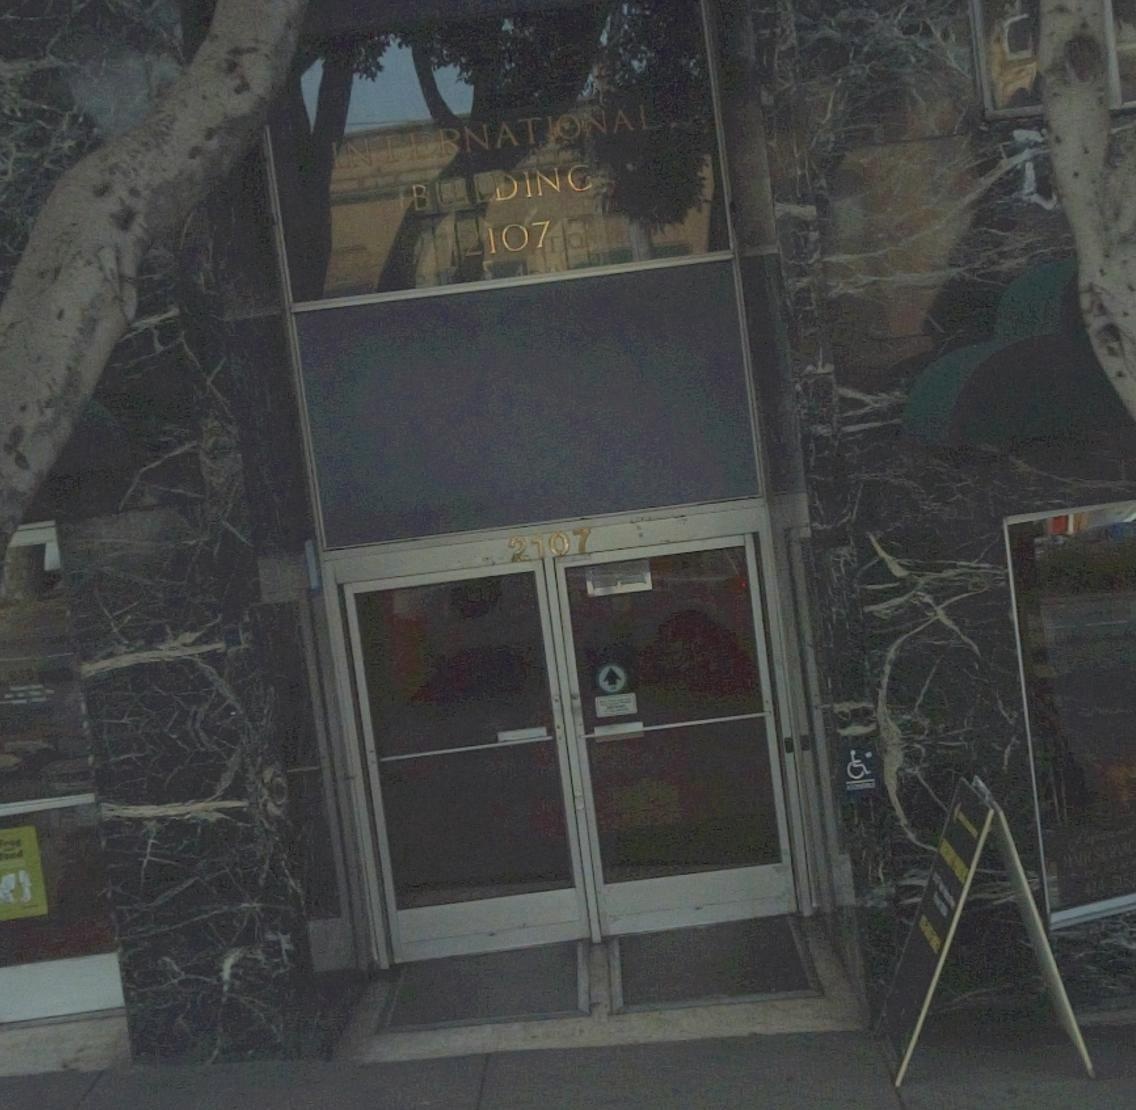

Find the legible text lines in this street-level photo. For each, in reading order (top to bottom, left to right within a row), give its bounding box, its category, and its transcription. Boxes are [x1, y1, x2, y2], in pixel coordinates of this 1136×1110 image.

[324, 100, 668, 177] None: INTERNATIONAL
[404, 158, 597, 216] None: BUILDING
[451, 215, 555, 263] StreetNumber: 2107
[562, 229, 588, 253] None: O
[506, 525, 594, 566] StreetNumber: 2107